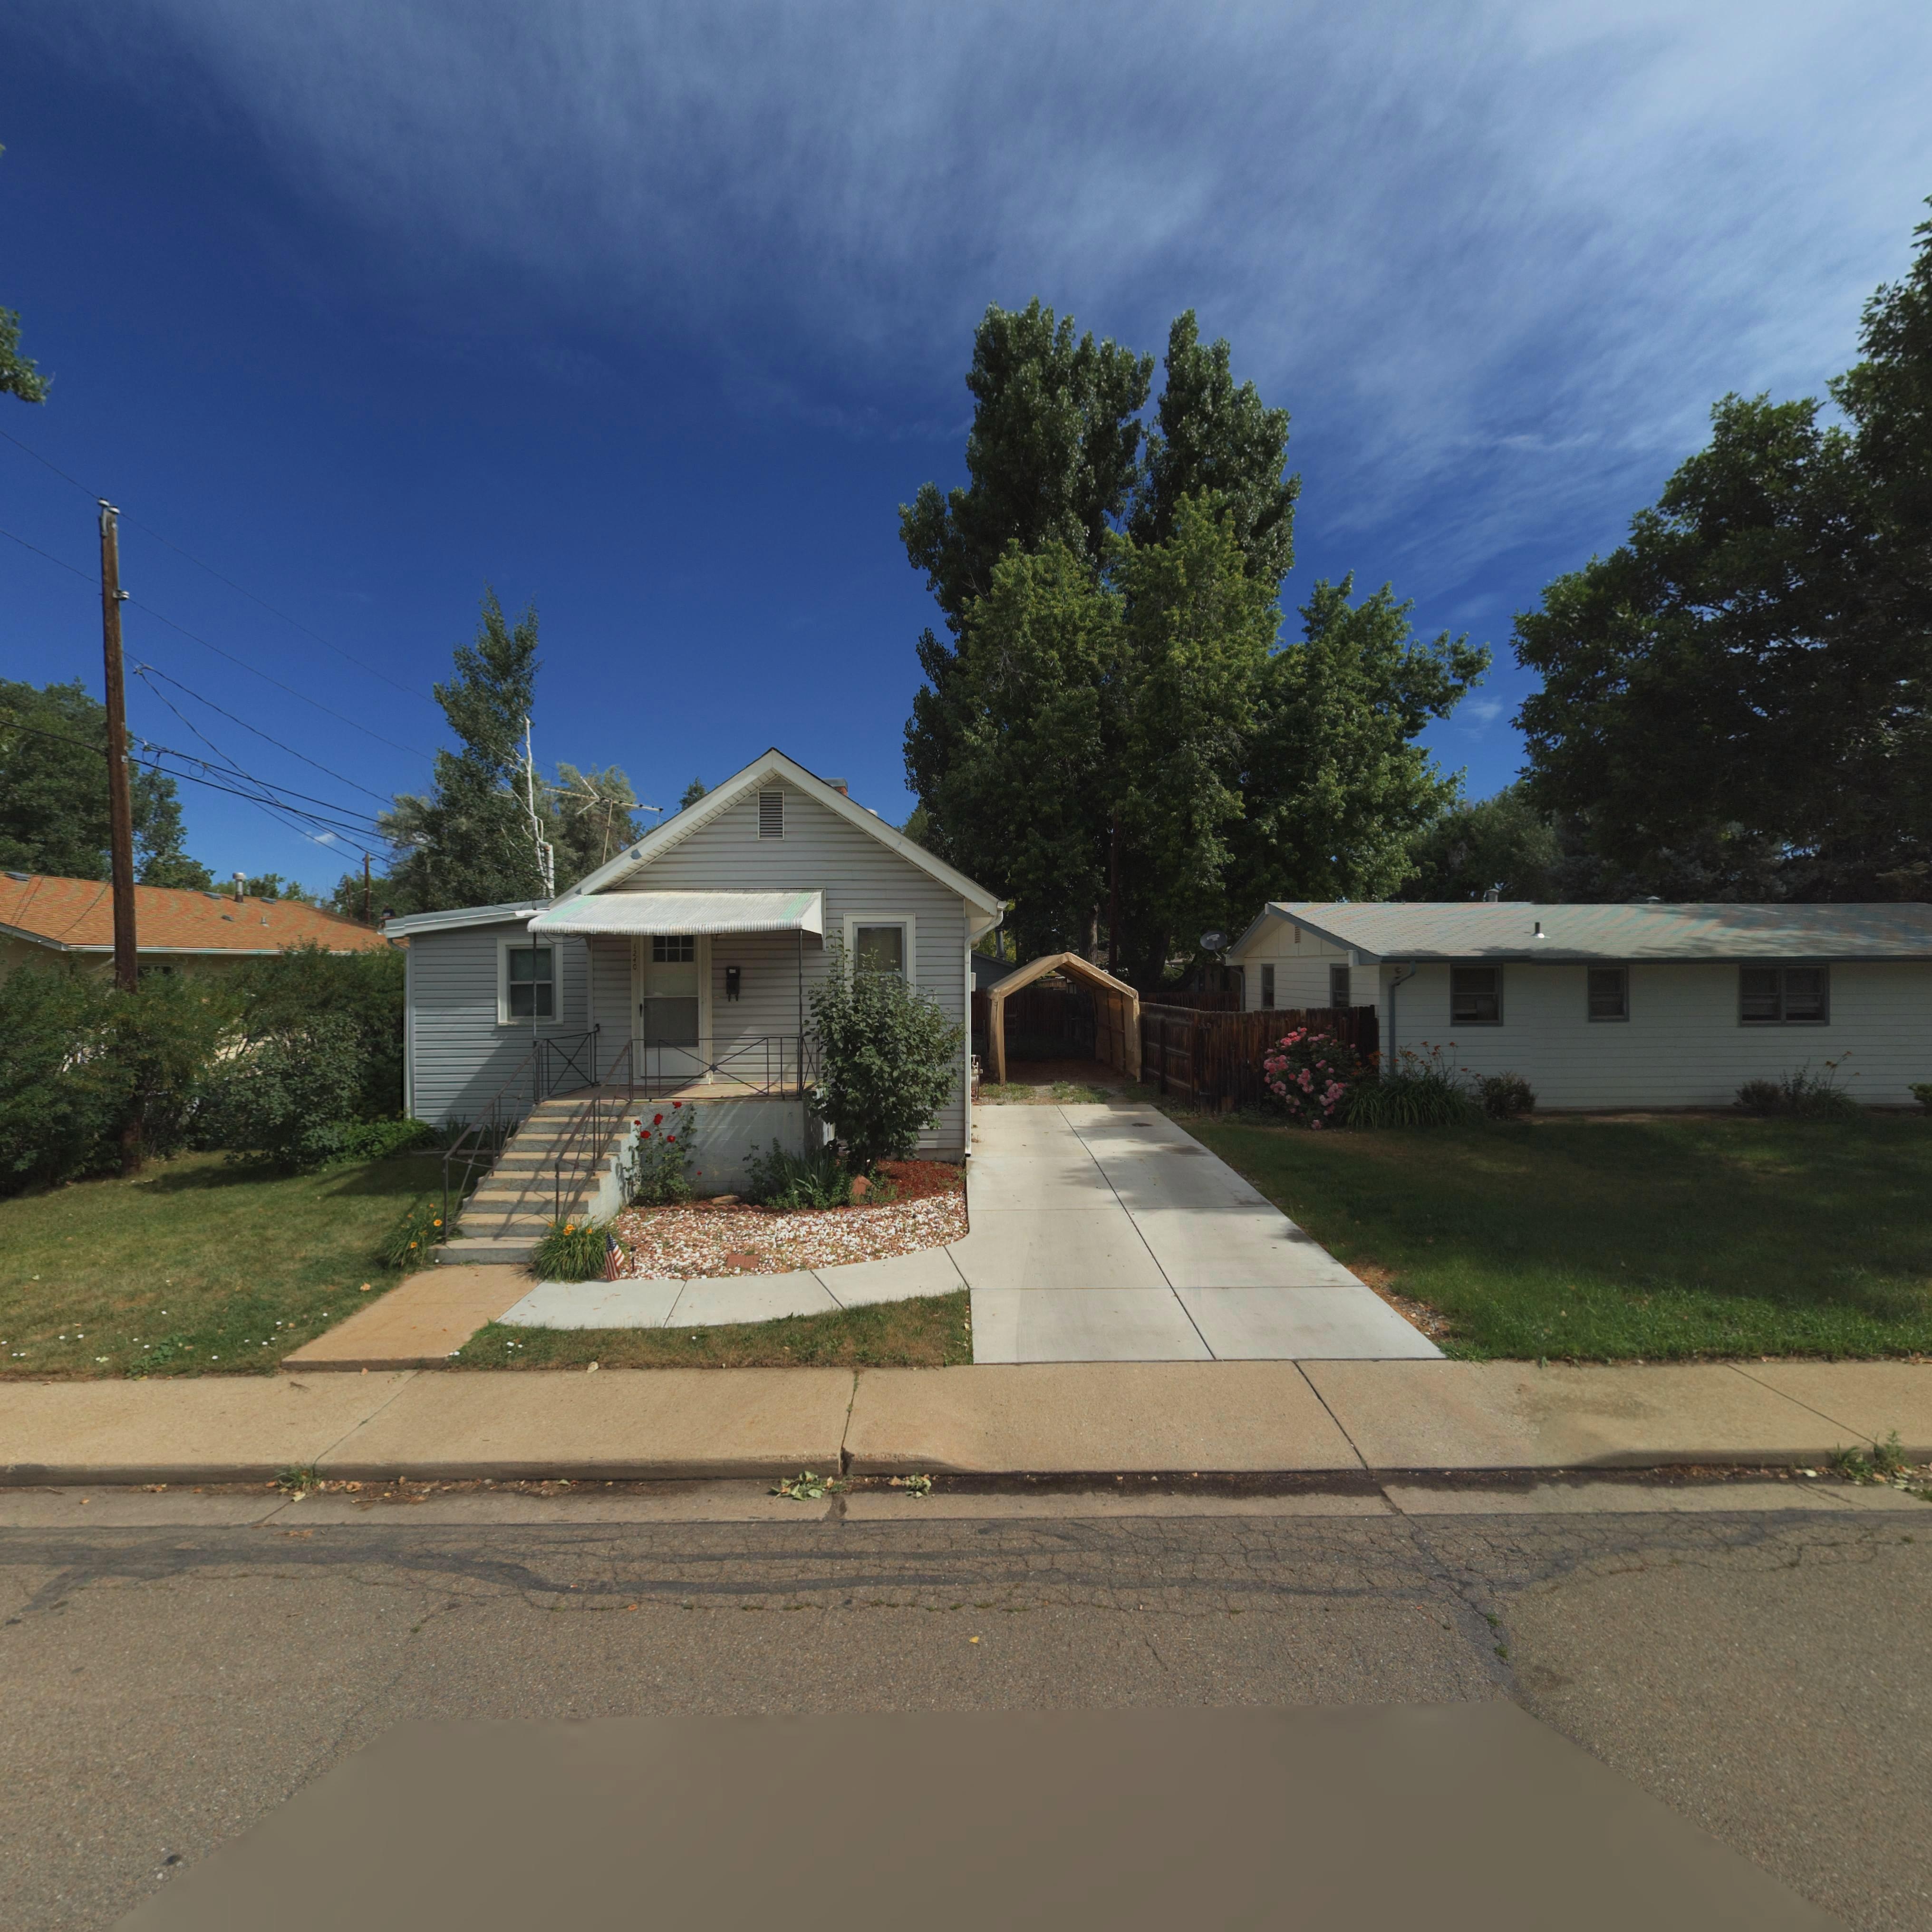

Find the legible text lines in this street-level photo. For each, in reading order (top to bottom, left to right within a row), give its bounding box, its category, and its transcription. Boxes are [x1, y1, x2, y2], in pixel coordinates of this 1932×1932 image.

[632, 942, 637, 970] StreetNumber: 1240